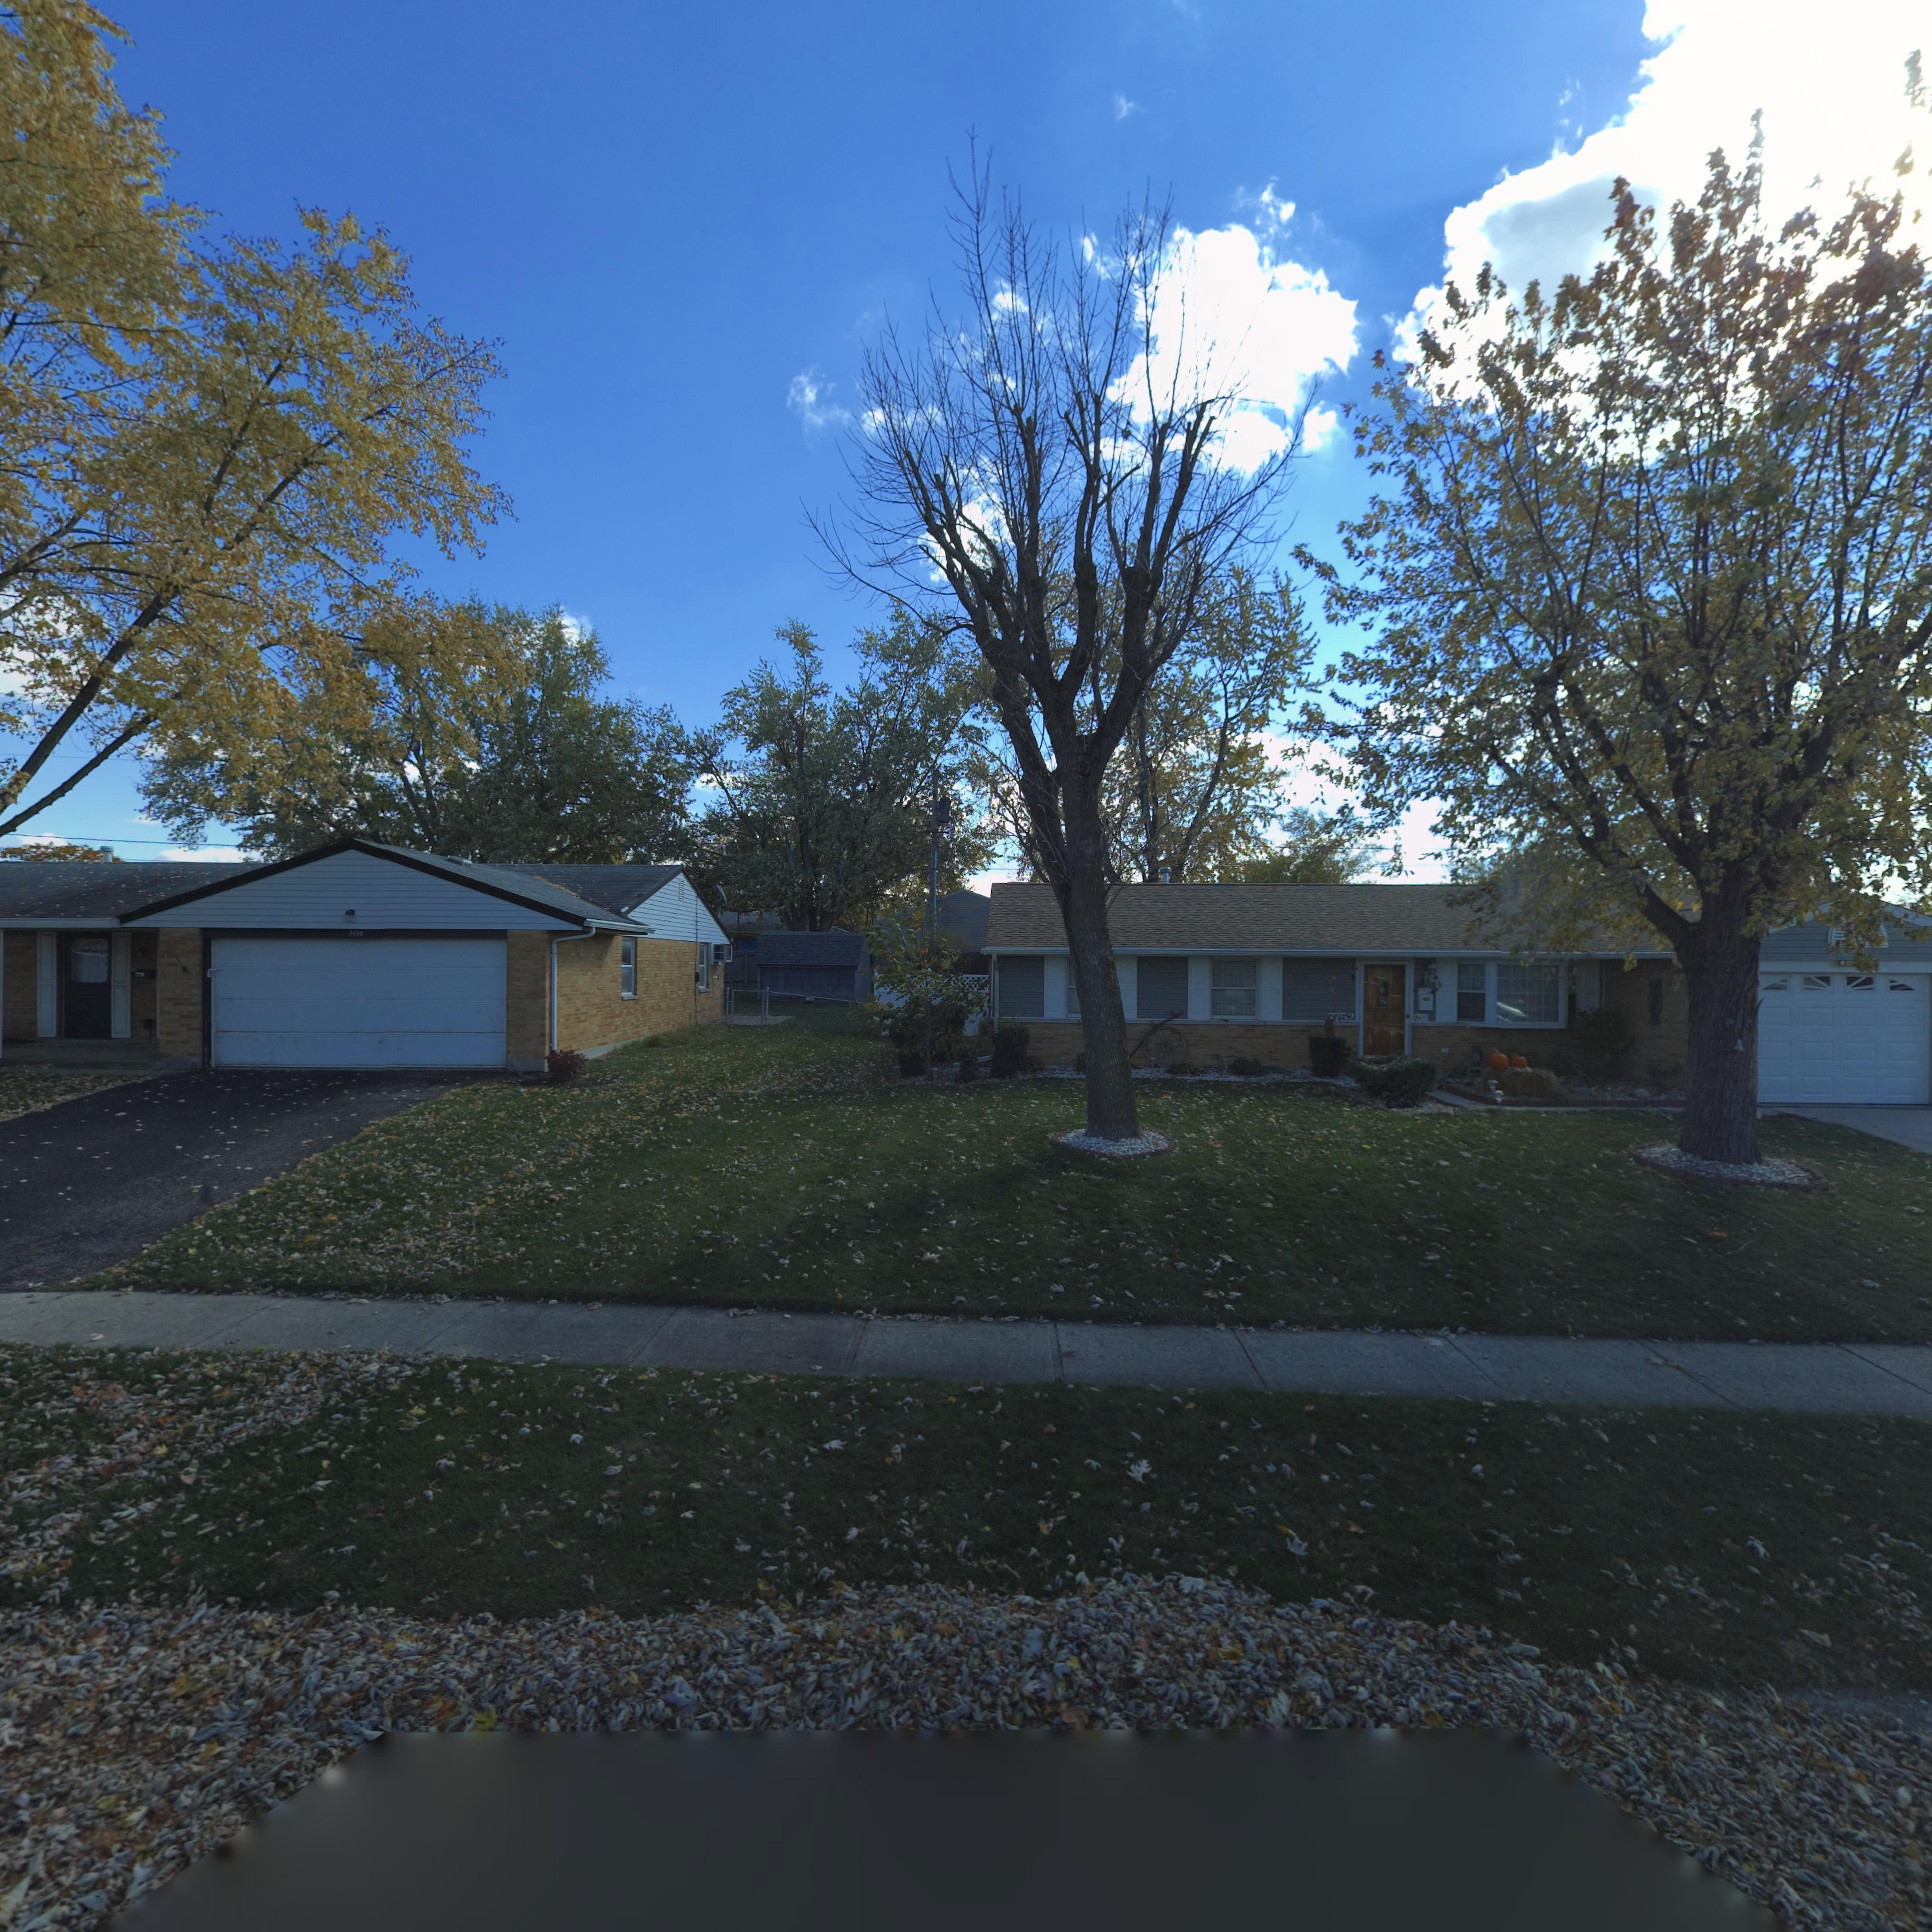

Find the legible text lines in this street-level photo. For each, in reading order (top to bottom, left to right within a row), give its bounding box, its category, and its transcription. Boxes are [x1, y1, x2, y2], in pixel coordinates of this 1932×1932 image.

[348, 929, 365, 937] StreetNumber: 7758
[1327, 1012, 1355, 1023] StreetNumber: 7752